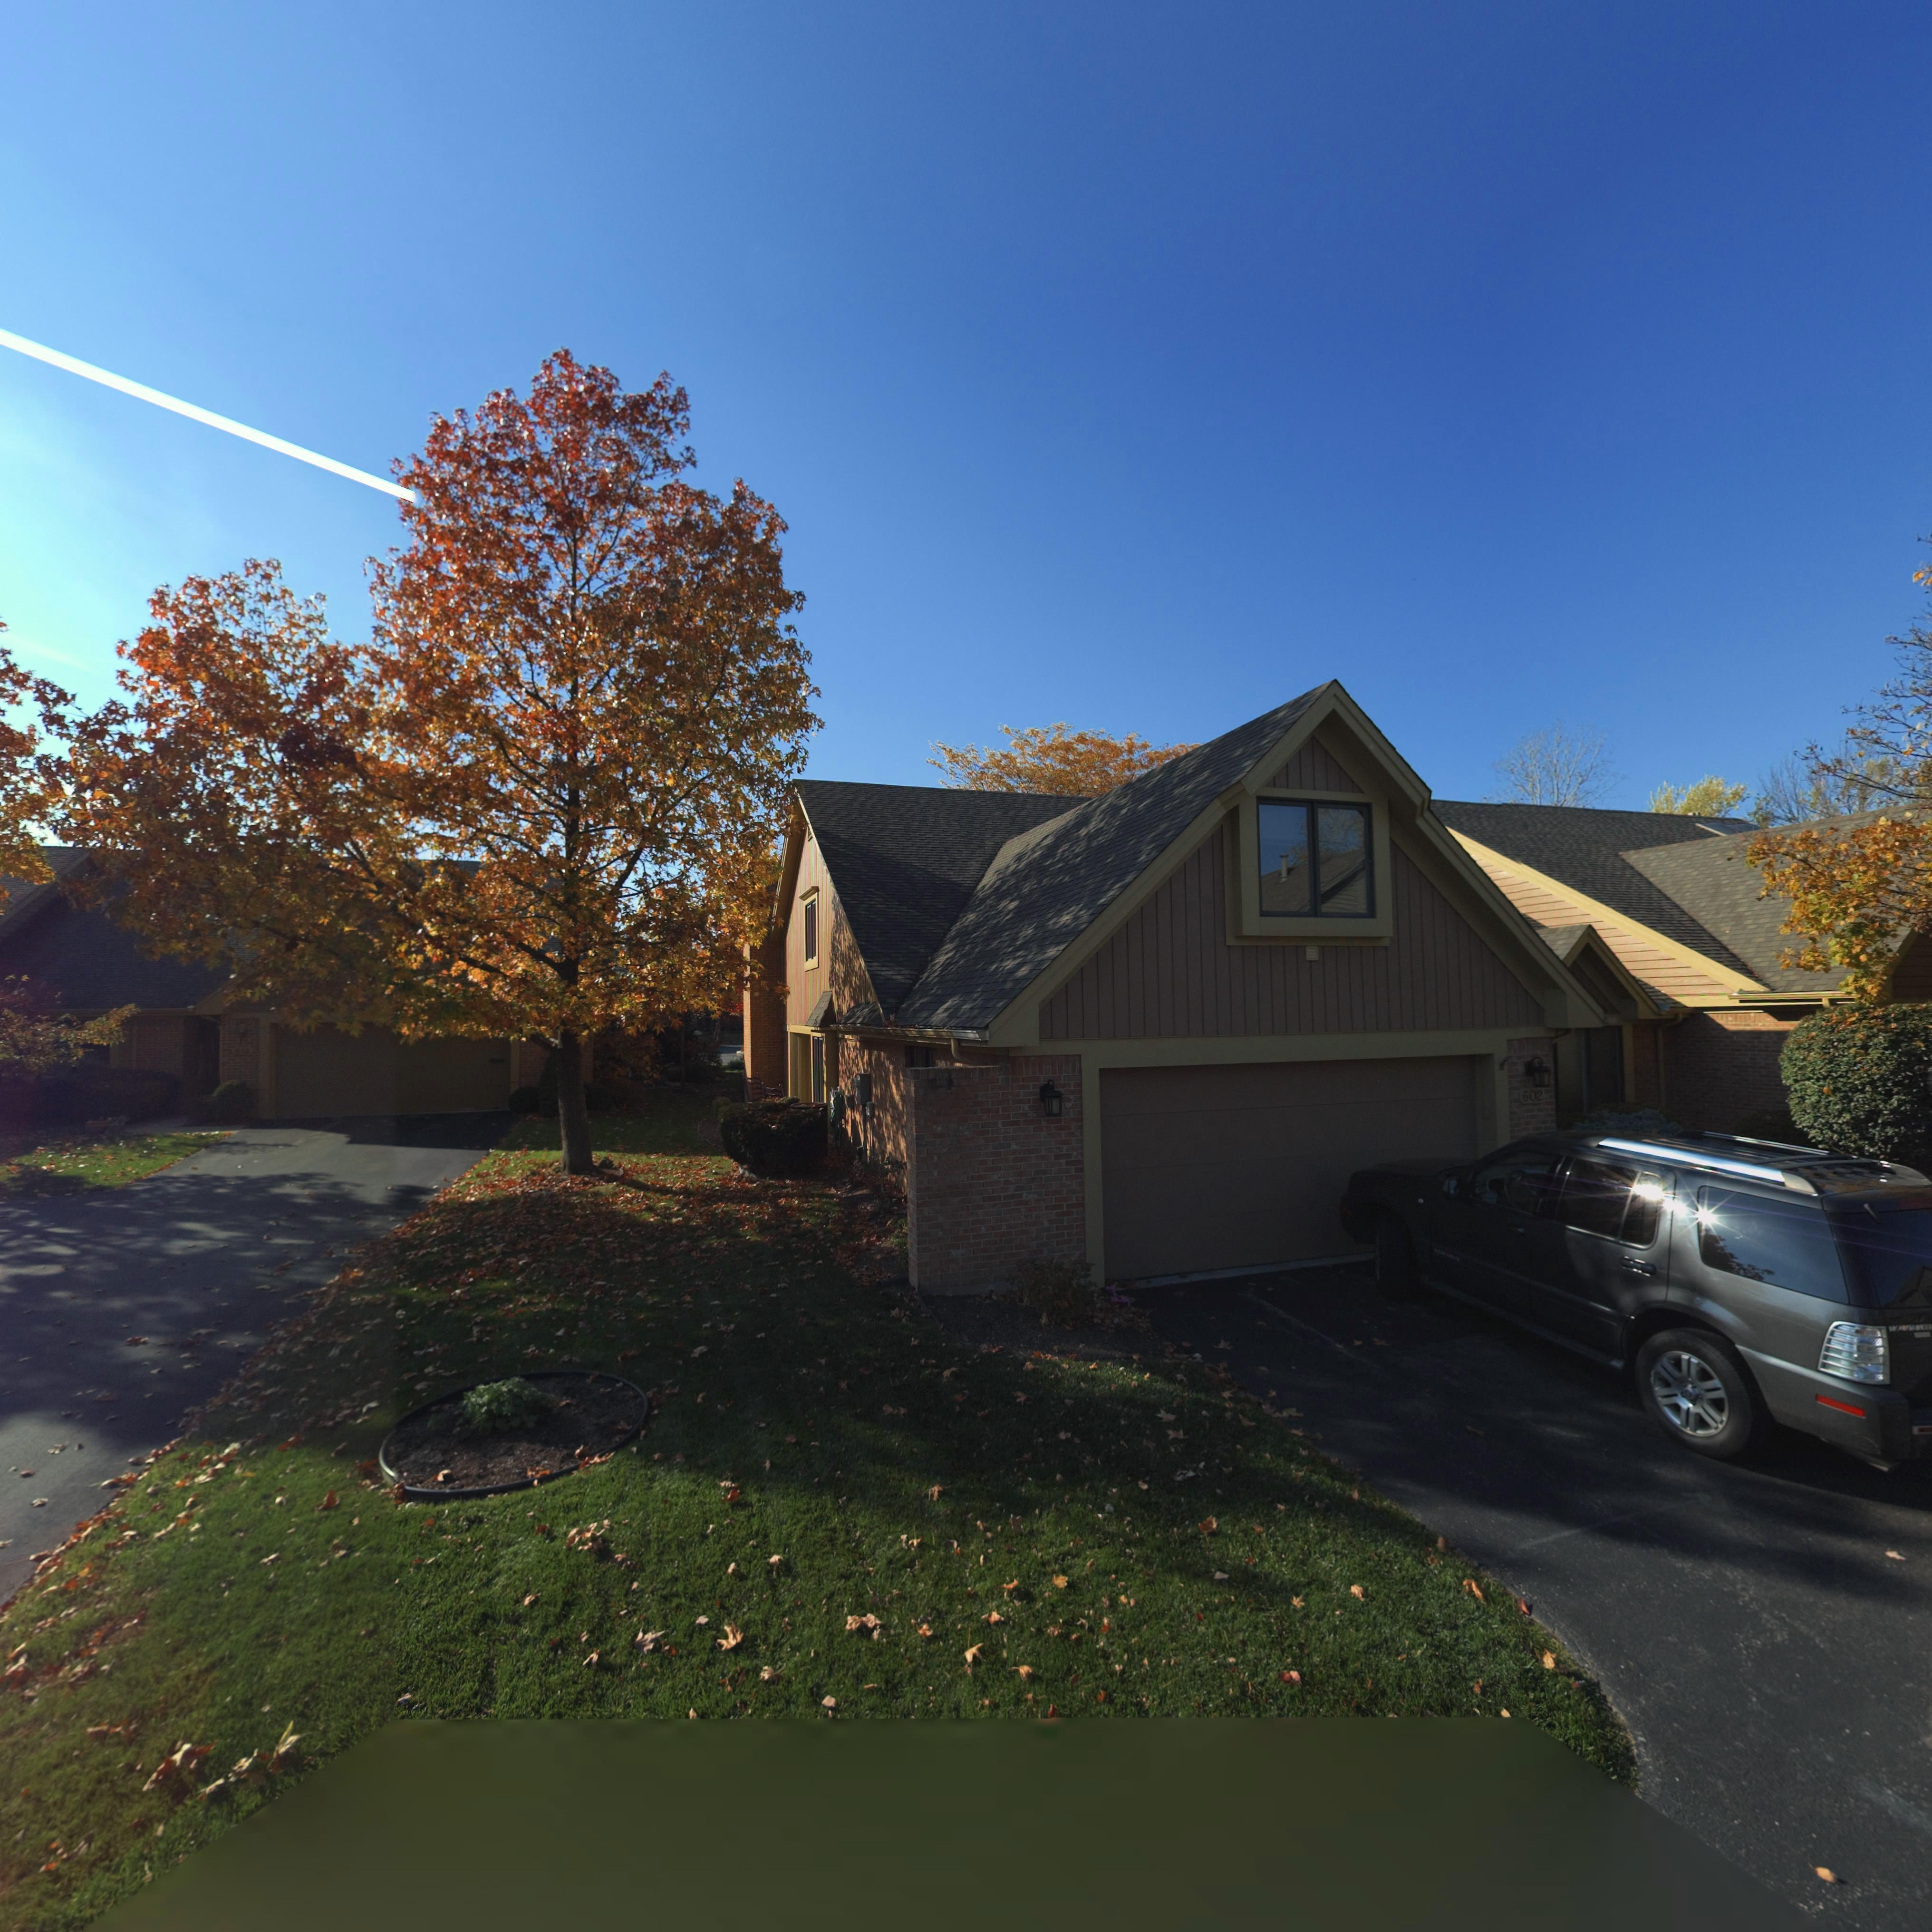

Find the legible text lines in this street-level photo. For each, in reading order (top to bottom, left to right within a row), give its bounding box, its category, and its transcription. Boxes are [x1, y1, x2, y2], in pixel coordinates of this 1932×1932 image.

[1521, 1089, 1544, 1103] StreetNumber: 602